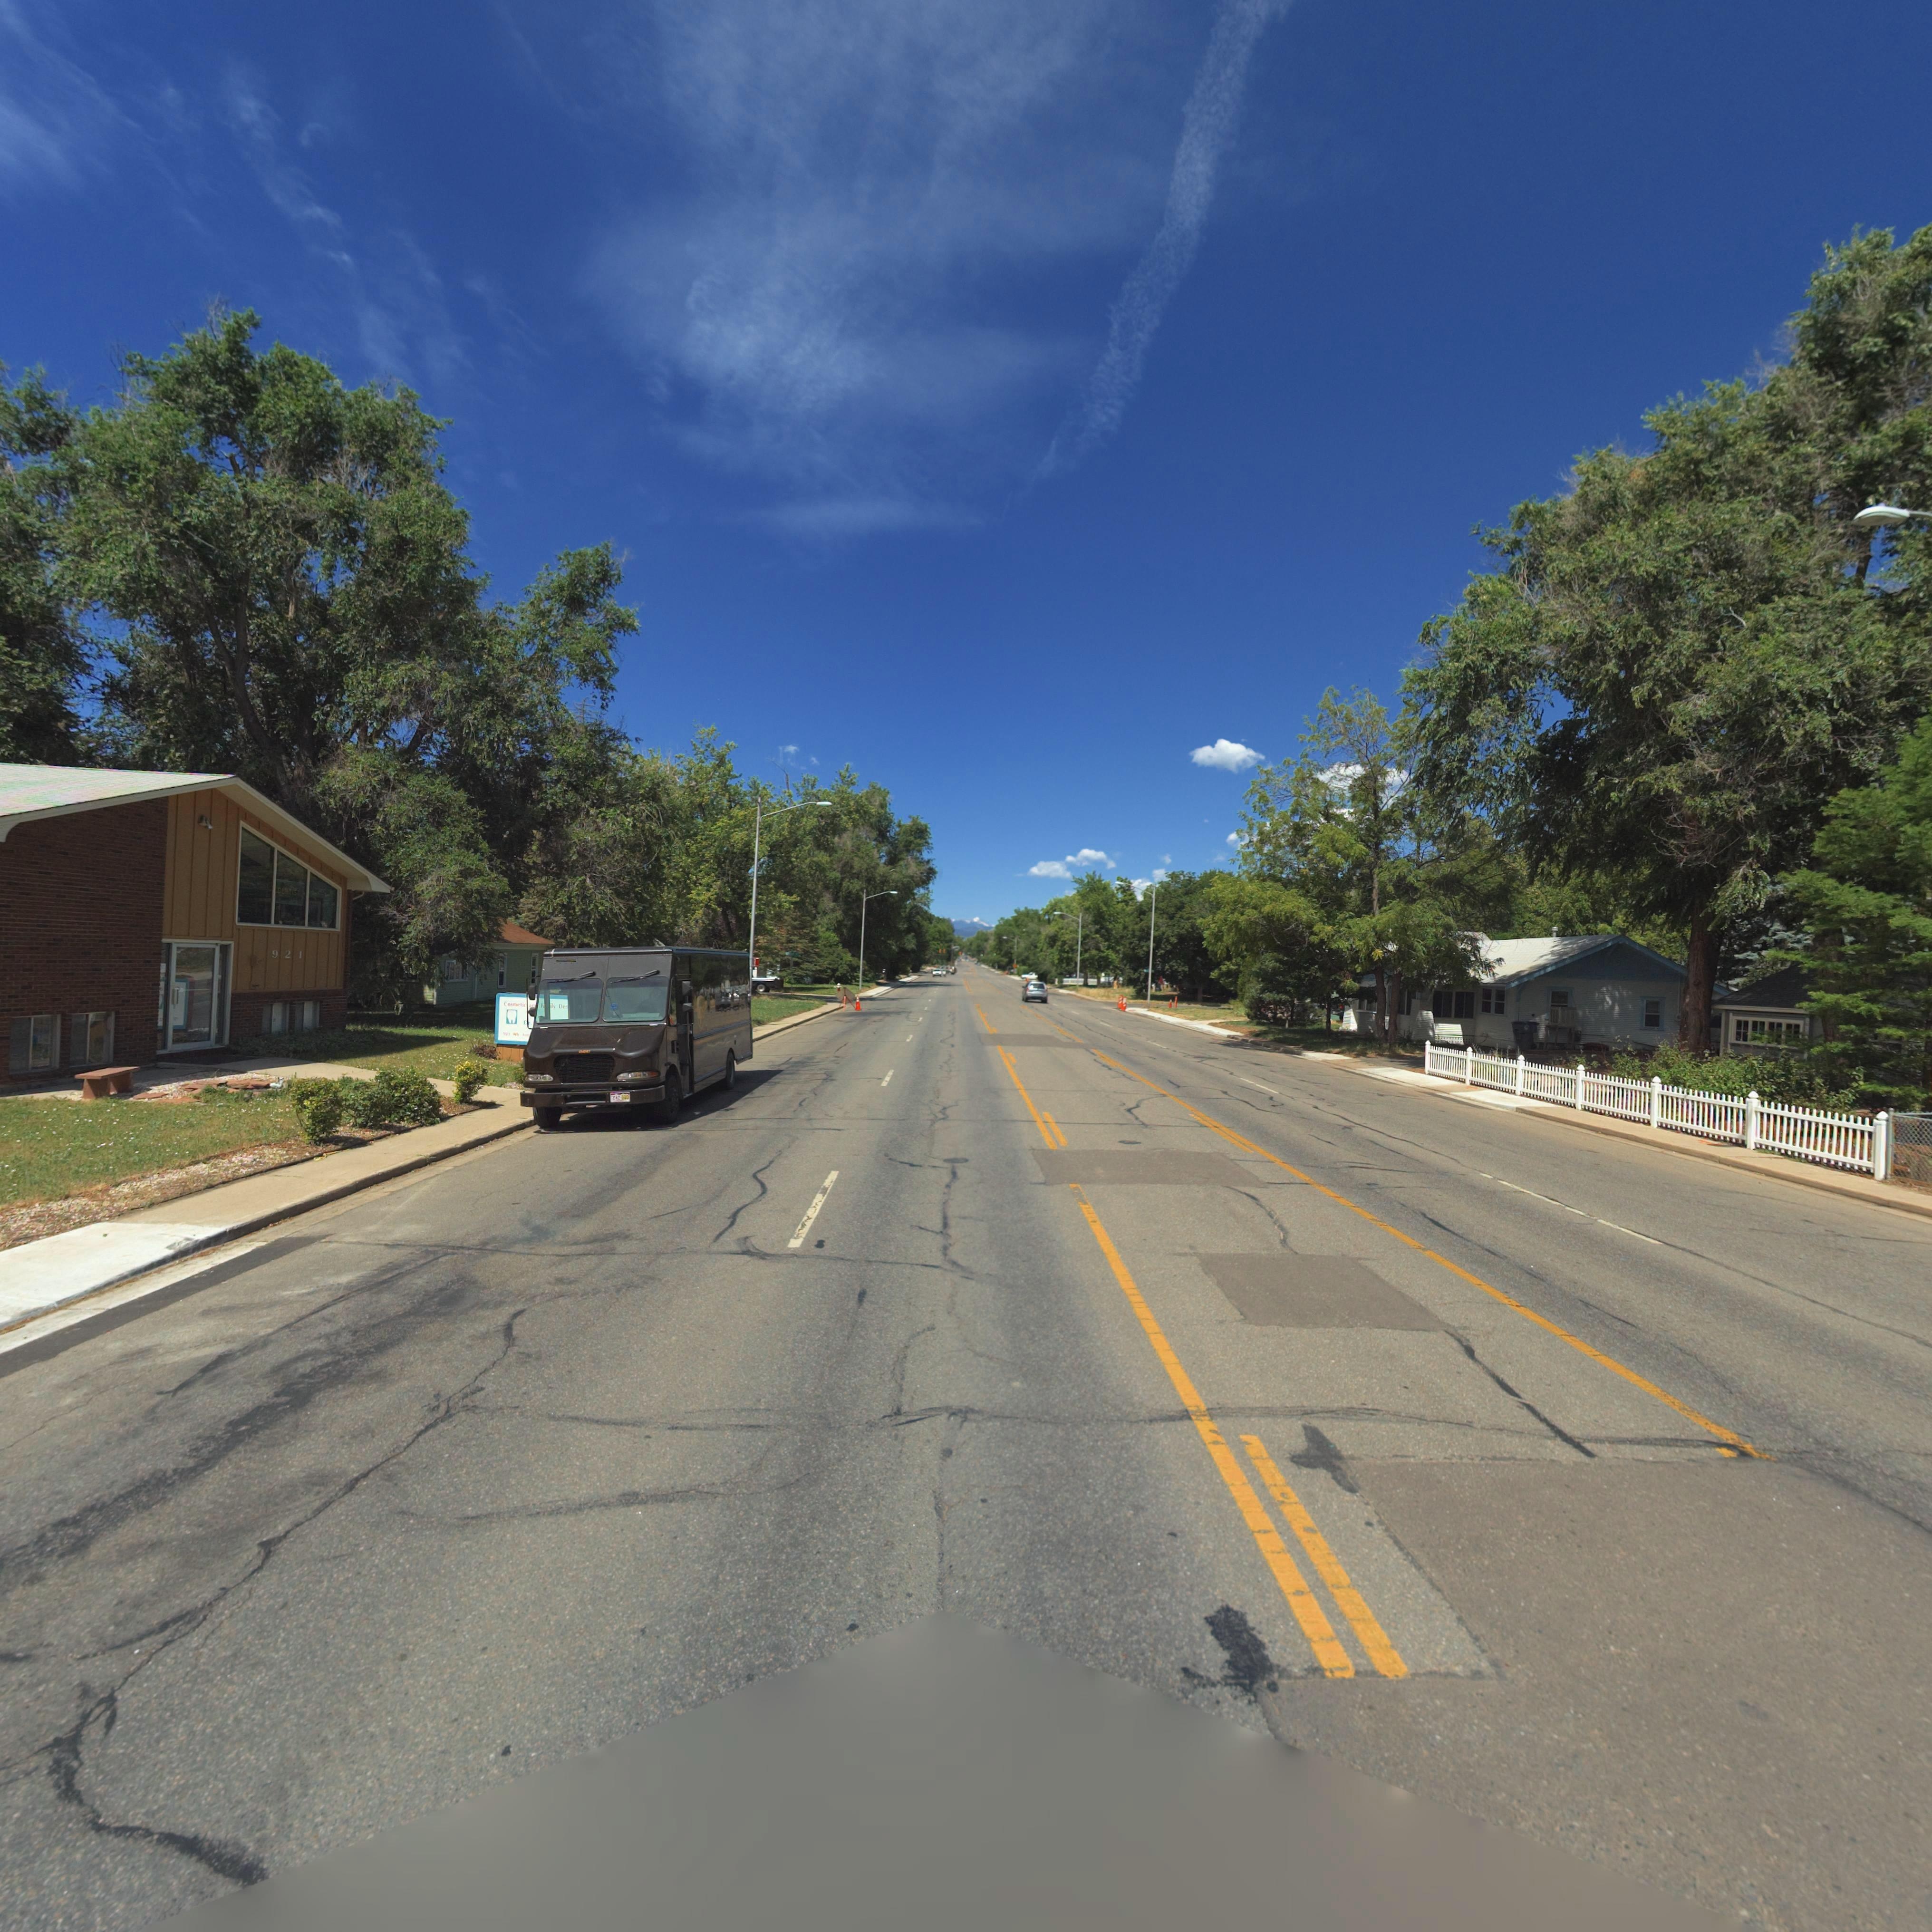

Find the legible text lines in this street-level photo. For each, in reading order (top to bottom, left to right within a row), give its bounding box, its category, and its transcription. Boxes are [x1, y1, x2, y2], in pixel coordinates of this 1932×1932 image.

[271, 949, 303, 959] StreetNumber: 921
[503, 1001, 570, 1010] BusinessName: Co*metic *** F**ily De*
[502, 1031, 511, 1037] StreetNumber: *21
[512, 1032, 530, 1037] StreetName: **h A***